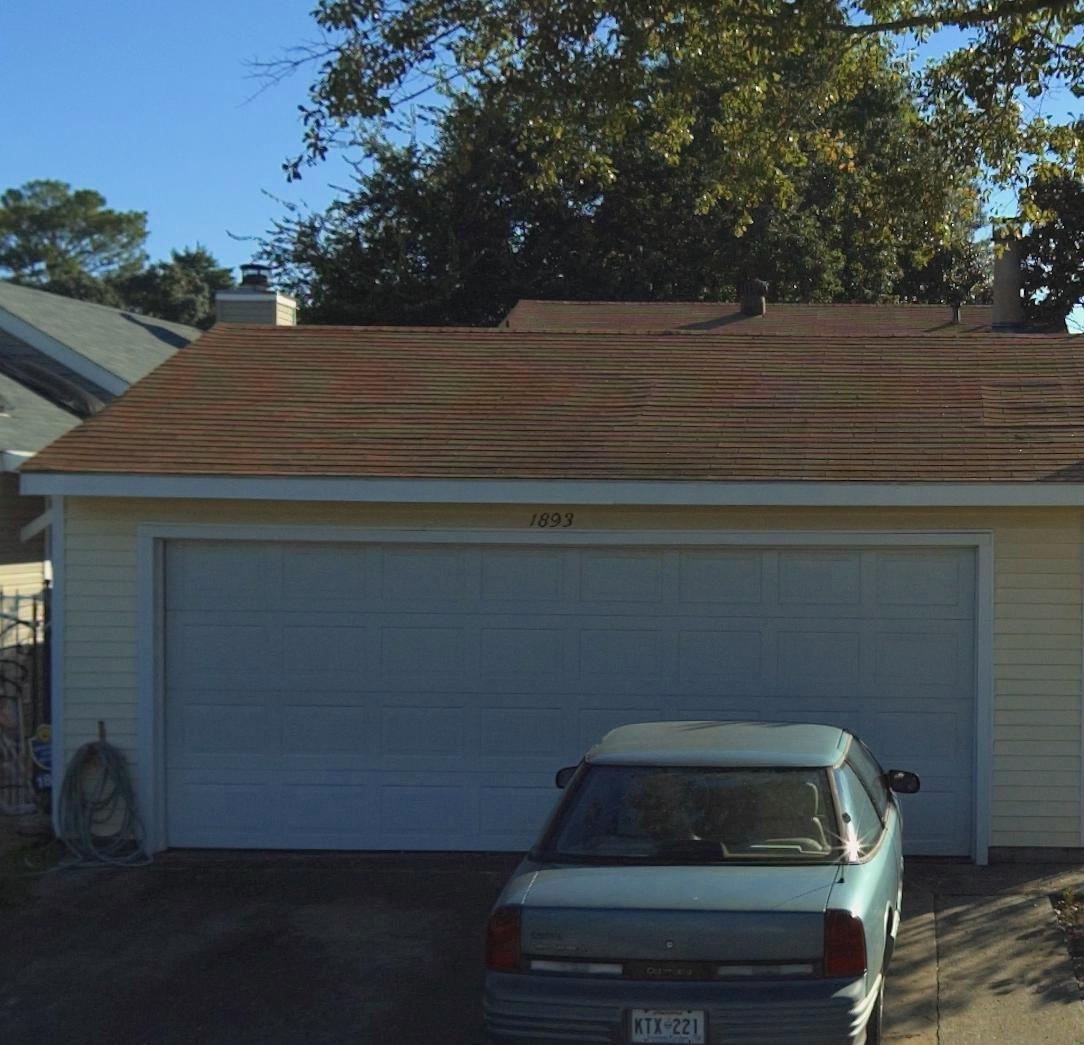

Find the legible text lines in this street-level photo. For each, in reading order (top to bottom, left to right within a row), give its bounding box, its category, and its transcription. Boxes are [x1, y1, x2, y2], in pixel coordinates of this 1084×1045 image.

[527, 510, 576, 529] StreetNumber: 1893
[34, 772, 55, 790] StreetNumber: 18
[632, 1015, 700, 1037] None: KTX 221